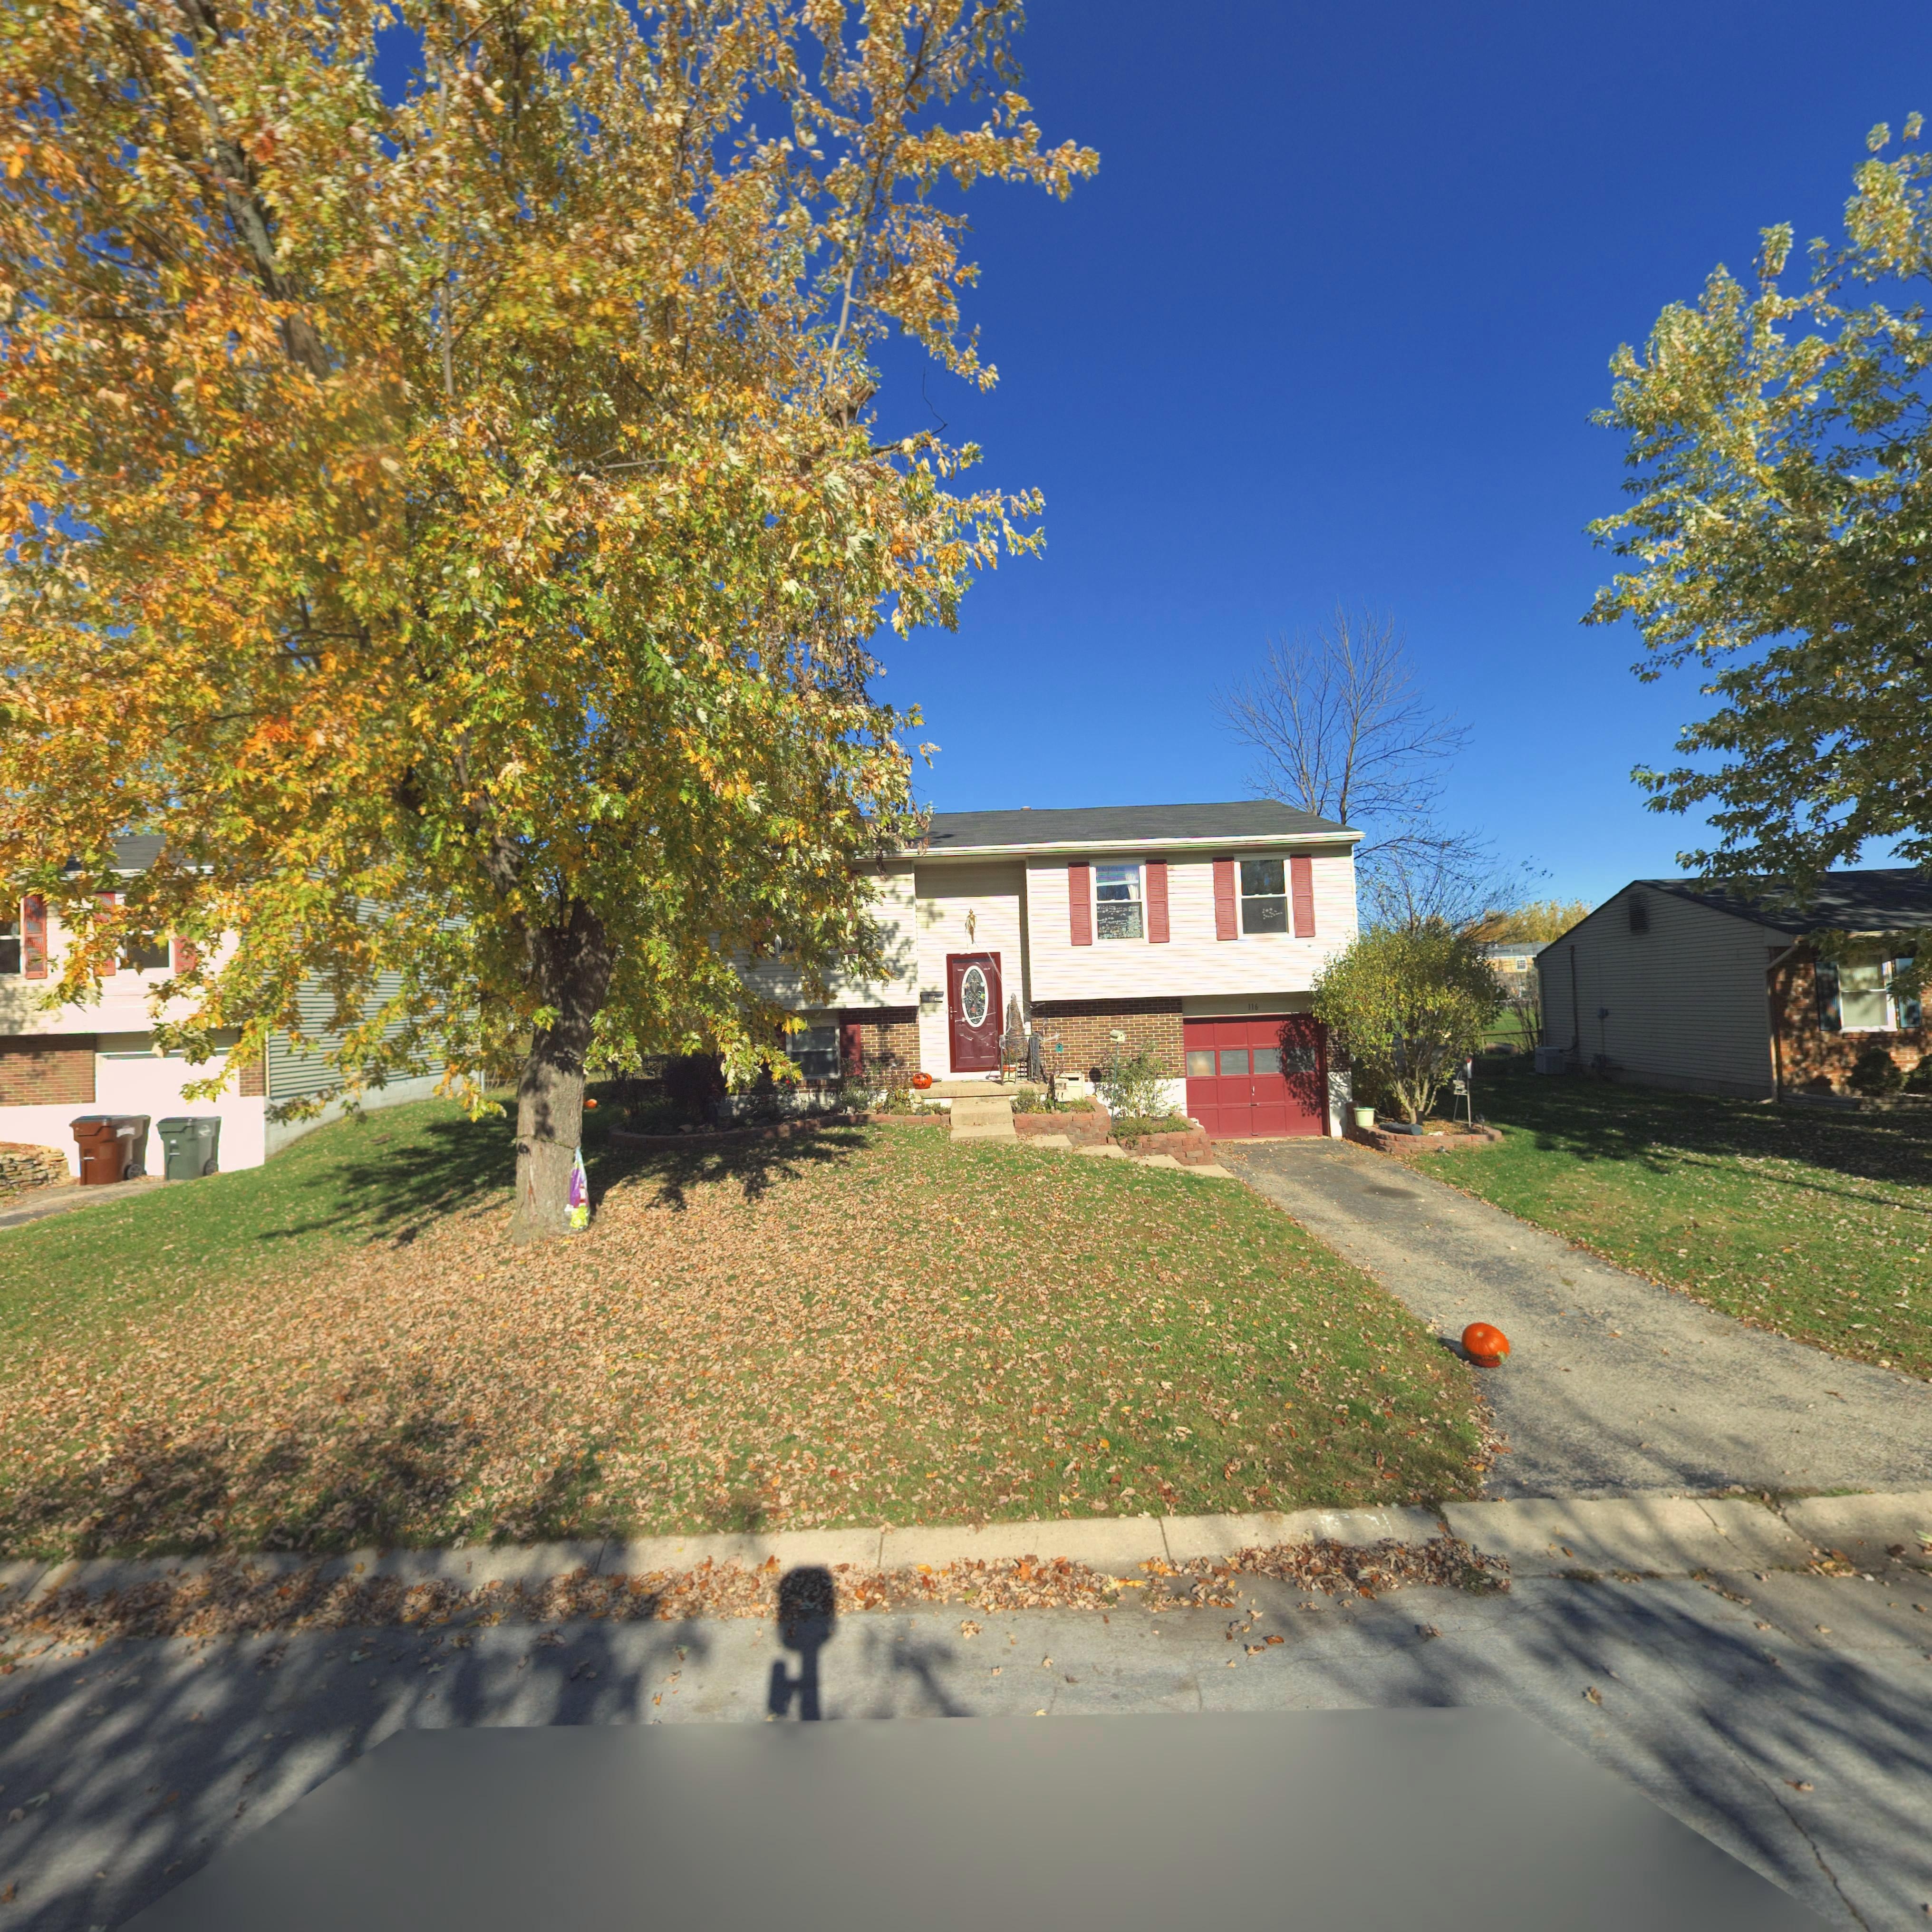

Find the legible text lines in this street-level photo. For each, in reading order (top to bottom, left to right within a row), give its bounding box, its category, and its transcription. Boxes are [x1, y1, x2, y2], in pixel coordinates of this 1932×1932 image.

[1247, 1003, 1259, 1011] StreetNumber: 116